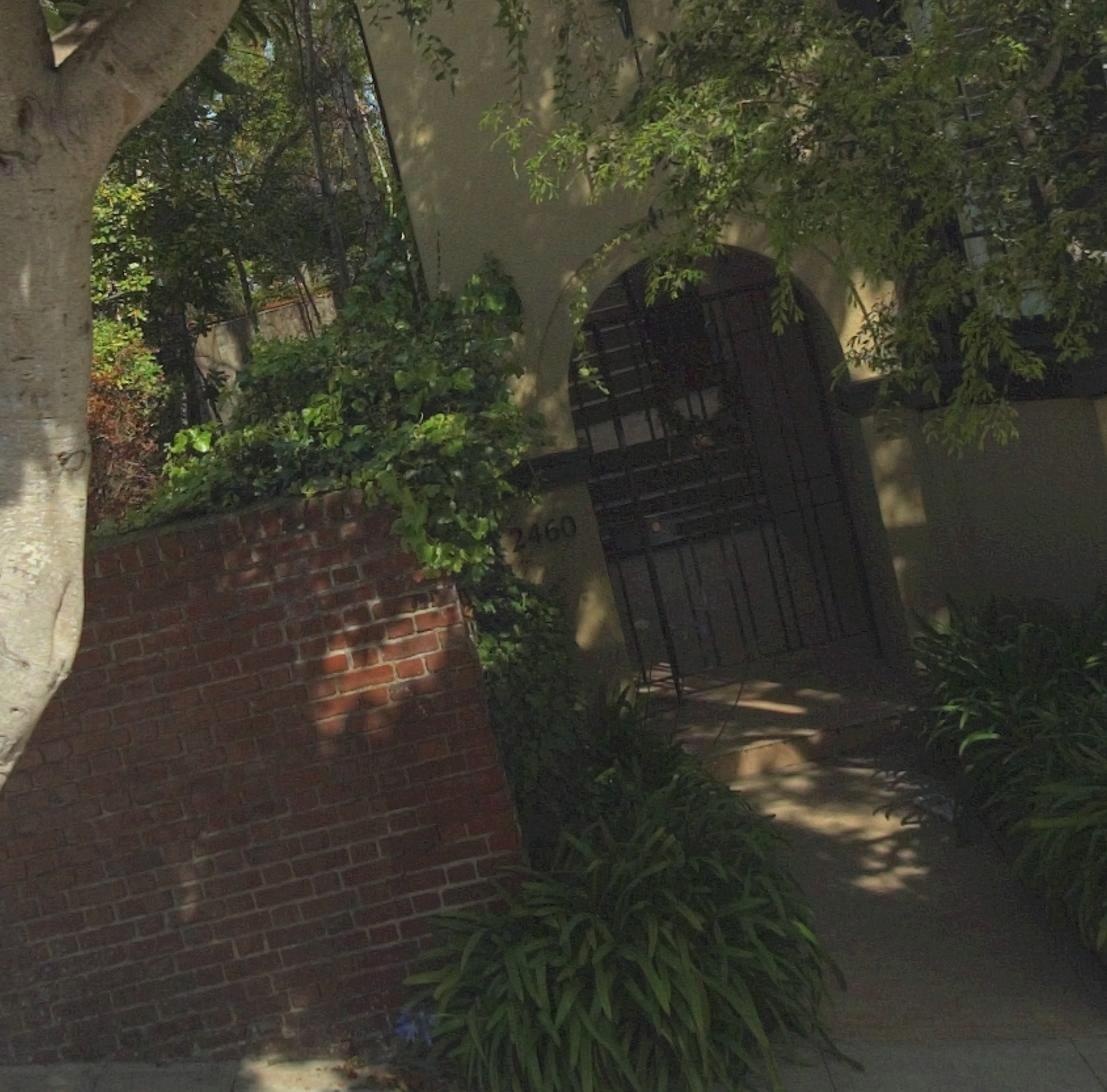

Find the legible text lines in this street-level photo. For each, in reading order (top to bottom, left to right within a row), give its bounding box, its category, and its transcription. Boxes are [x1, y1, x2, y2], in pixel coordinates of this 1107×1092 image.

[507, 509, 581, 556] StreetNumber: 2460